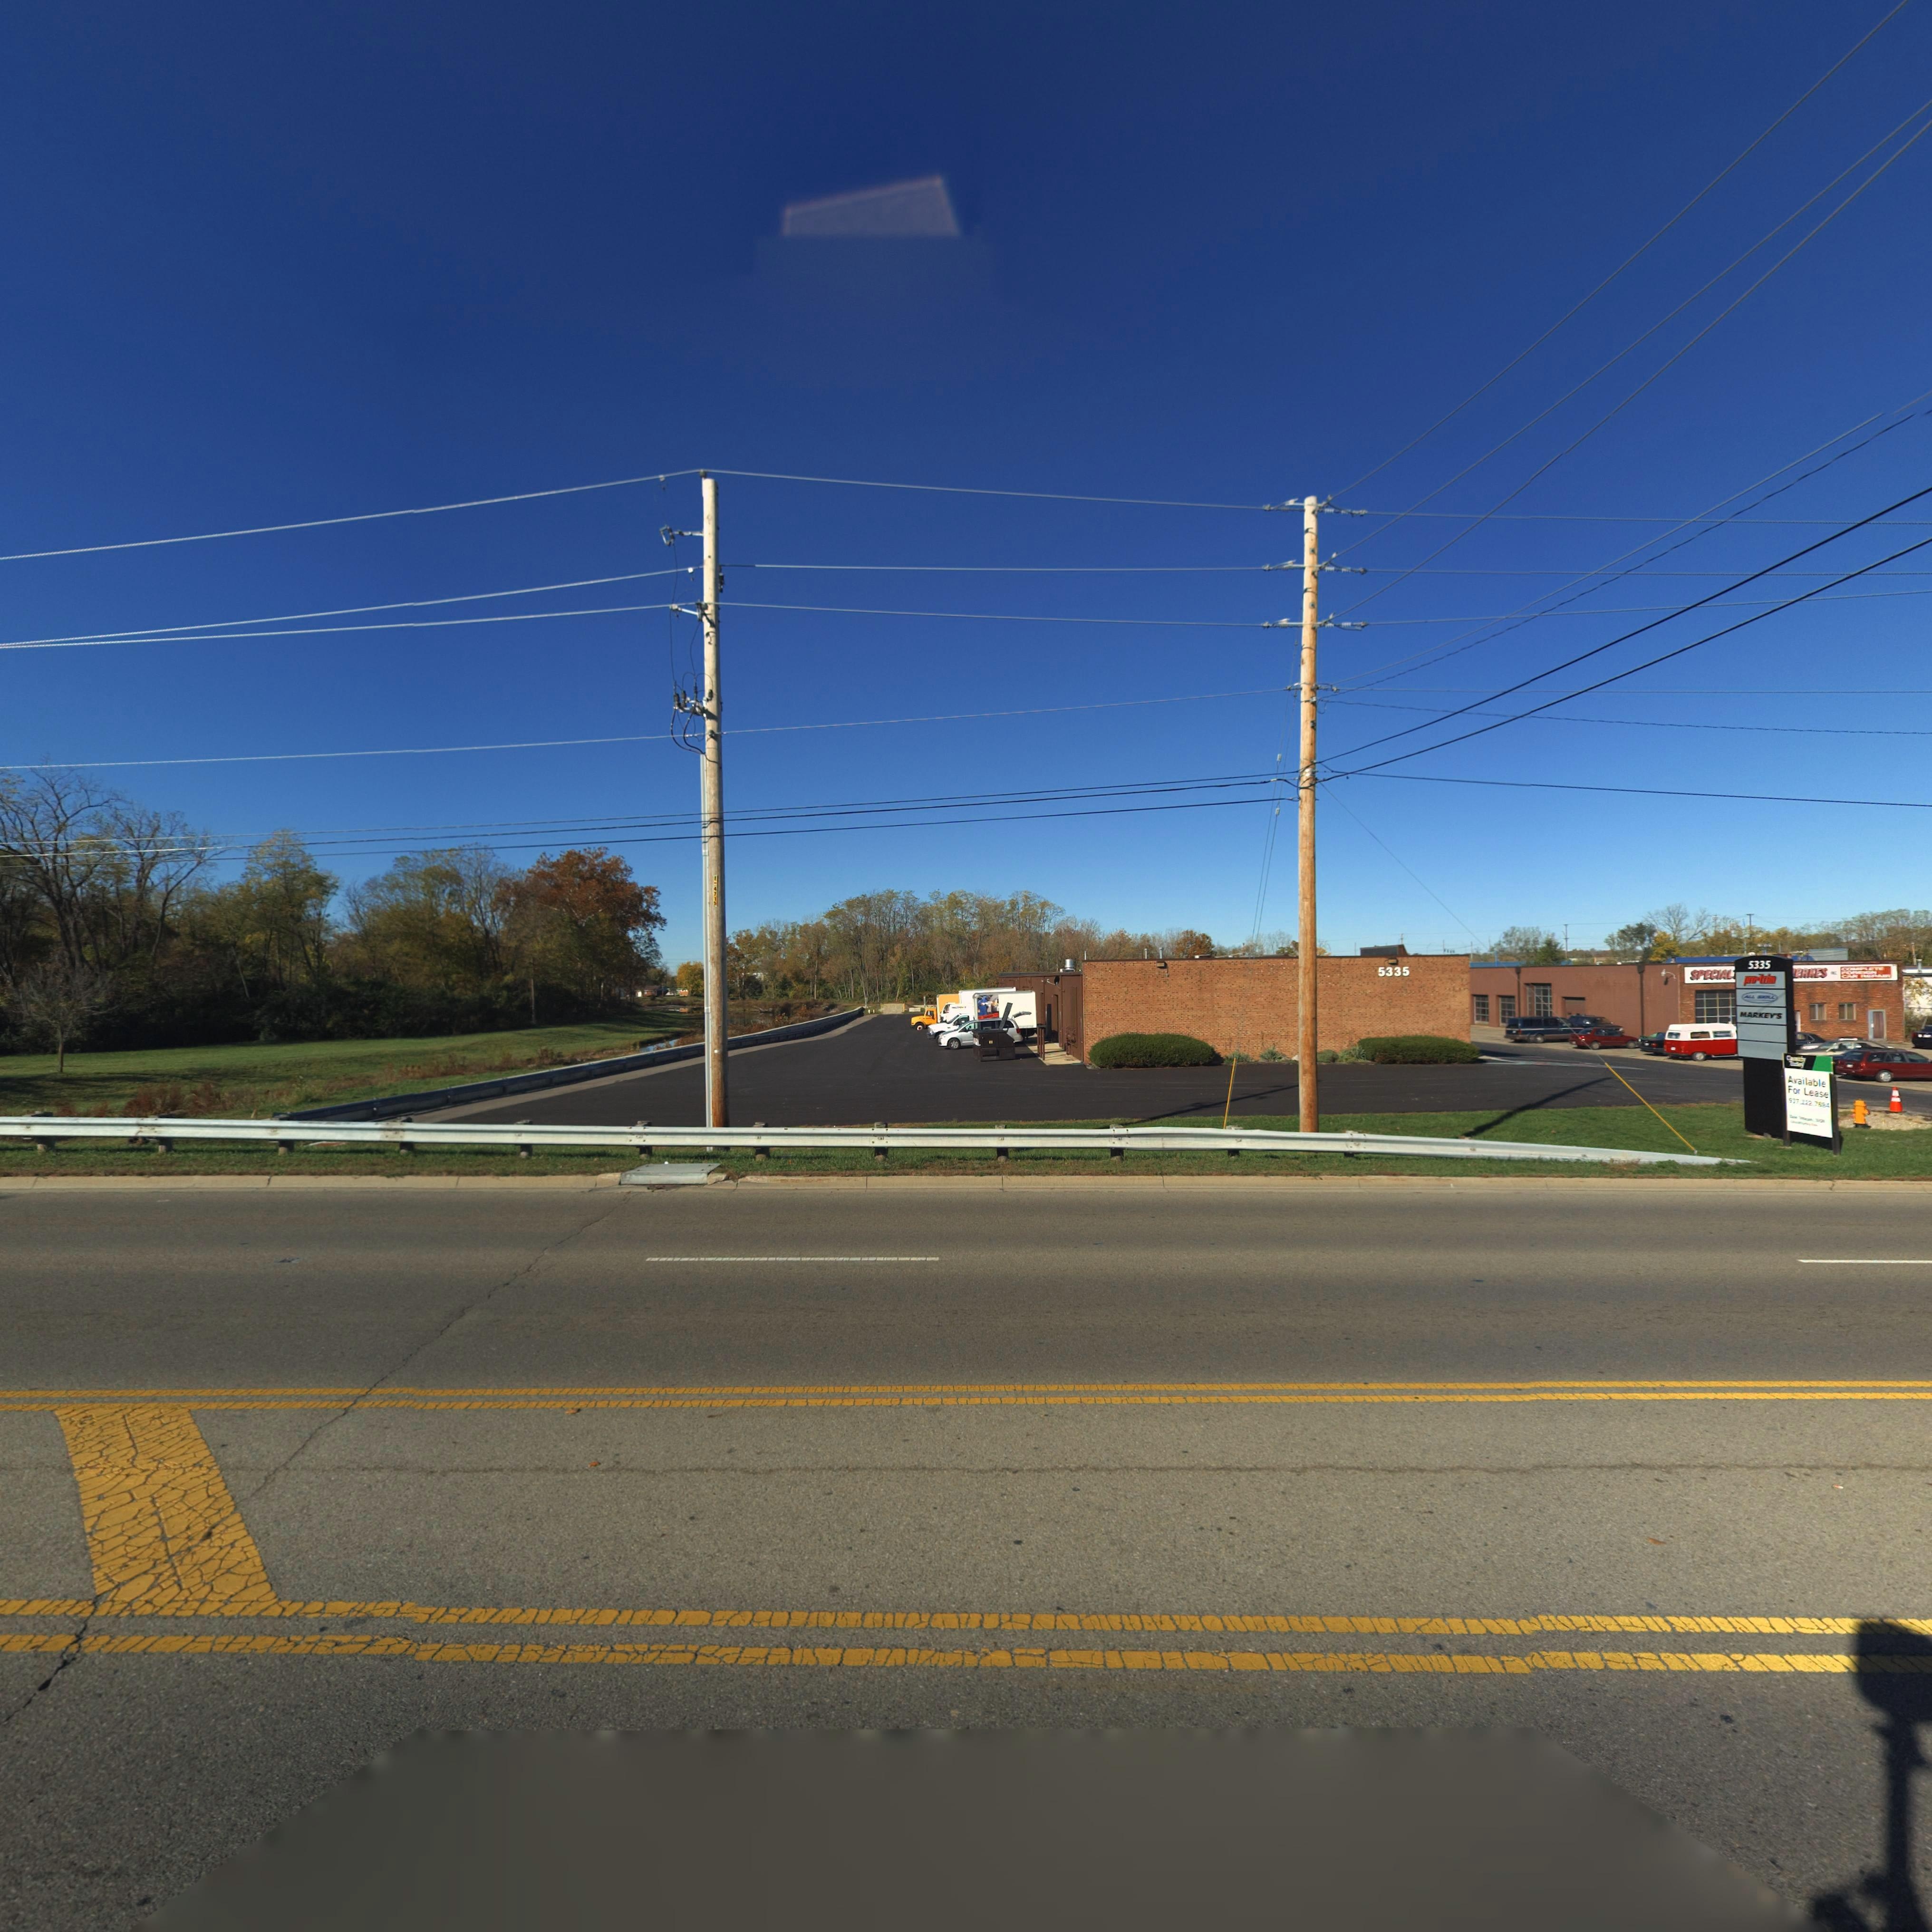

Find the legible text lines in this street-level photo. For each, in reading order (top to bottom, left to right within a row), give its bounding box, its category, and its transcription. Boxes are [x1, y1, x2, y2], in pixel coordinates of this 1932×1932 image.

[1747, 960, 1772, 970] StreetNumber: 5335
[1377, 966, 1410, 977] StreetNumber: 5335